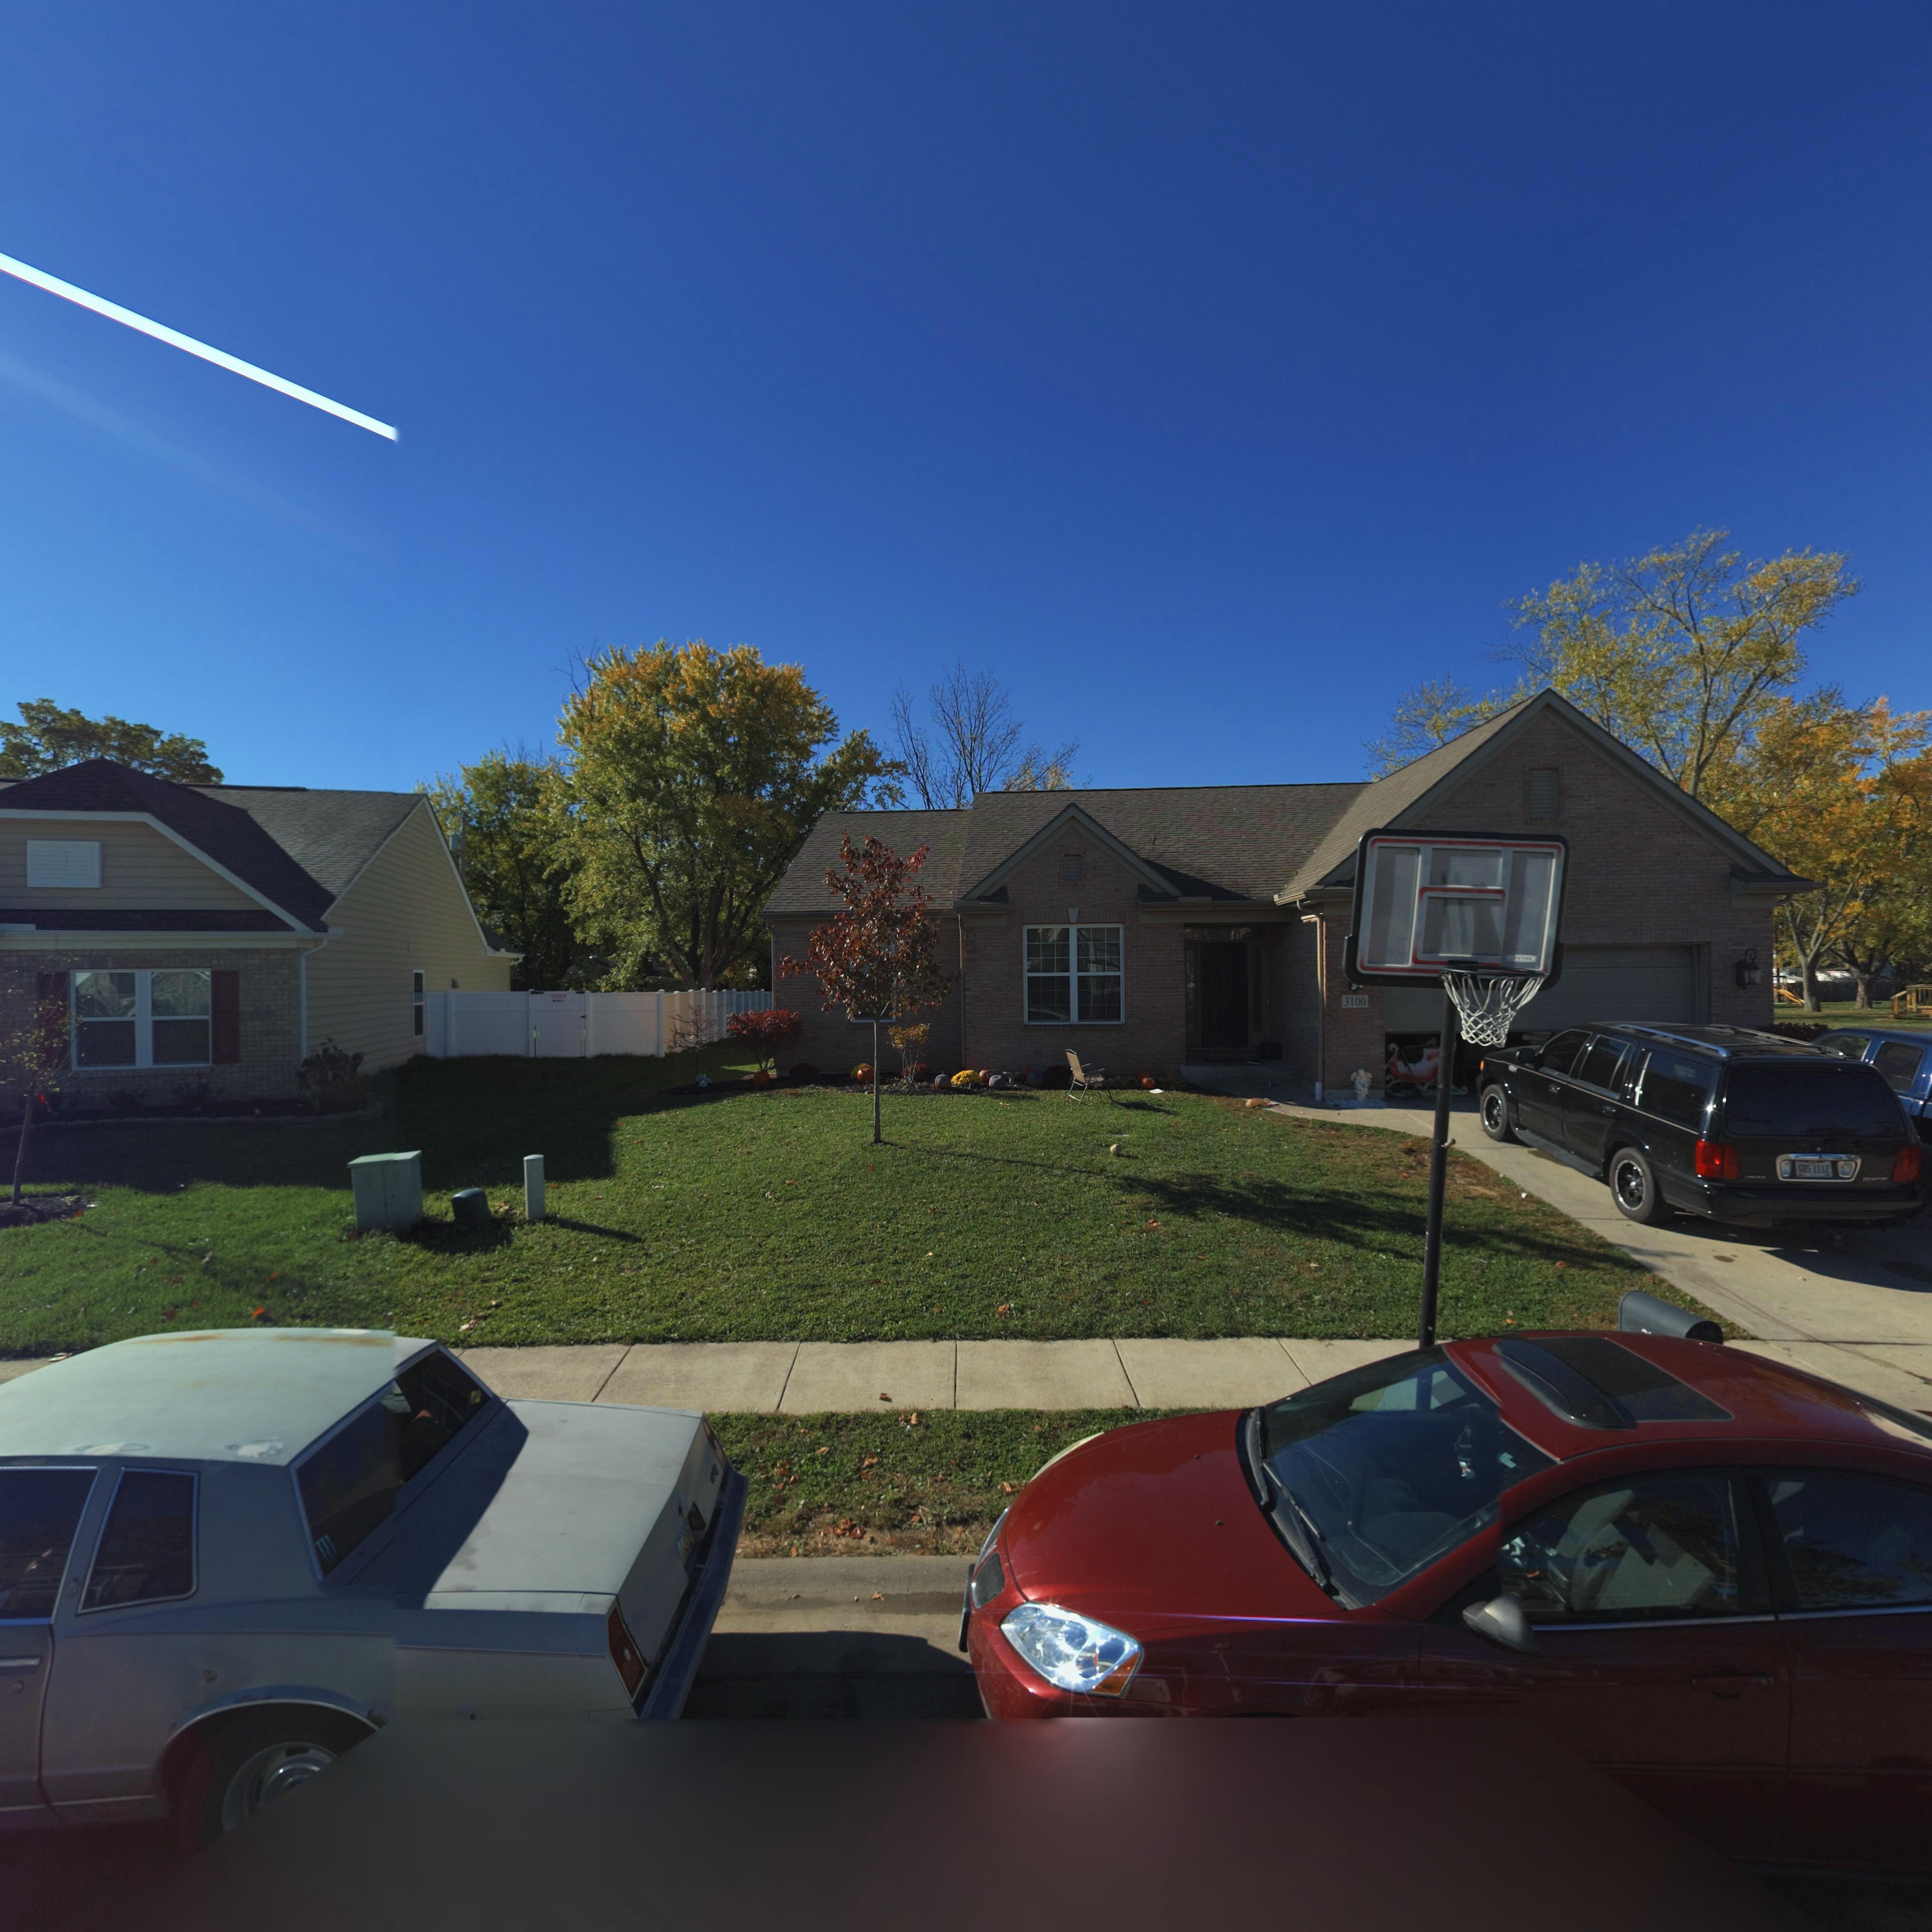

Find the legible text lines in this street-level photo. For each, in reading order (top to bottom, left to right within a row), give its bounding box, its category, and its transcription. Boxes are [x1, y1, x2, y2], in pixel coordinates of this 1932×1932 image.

[1343, 996, 1366, 1007] StreetNumber: 3100